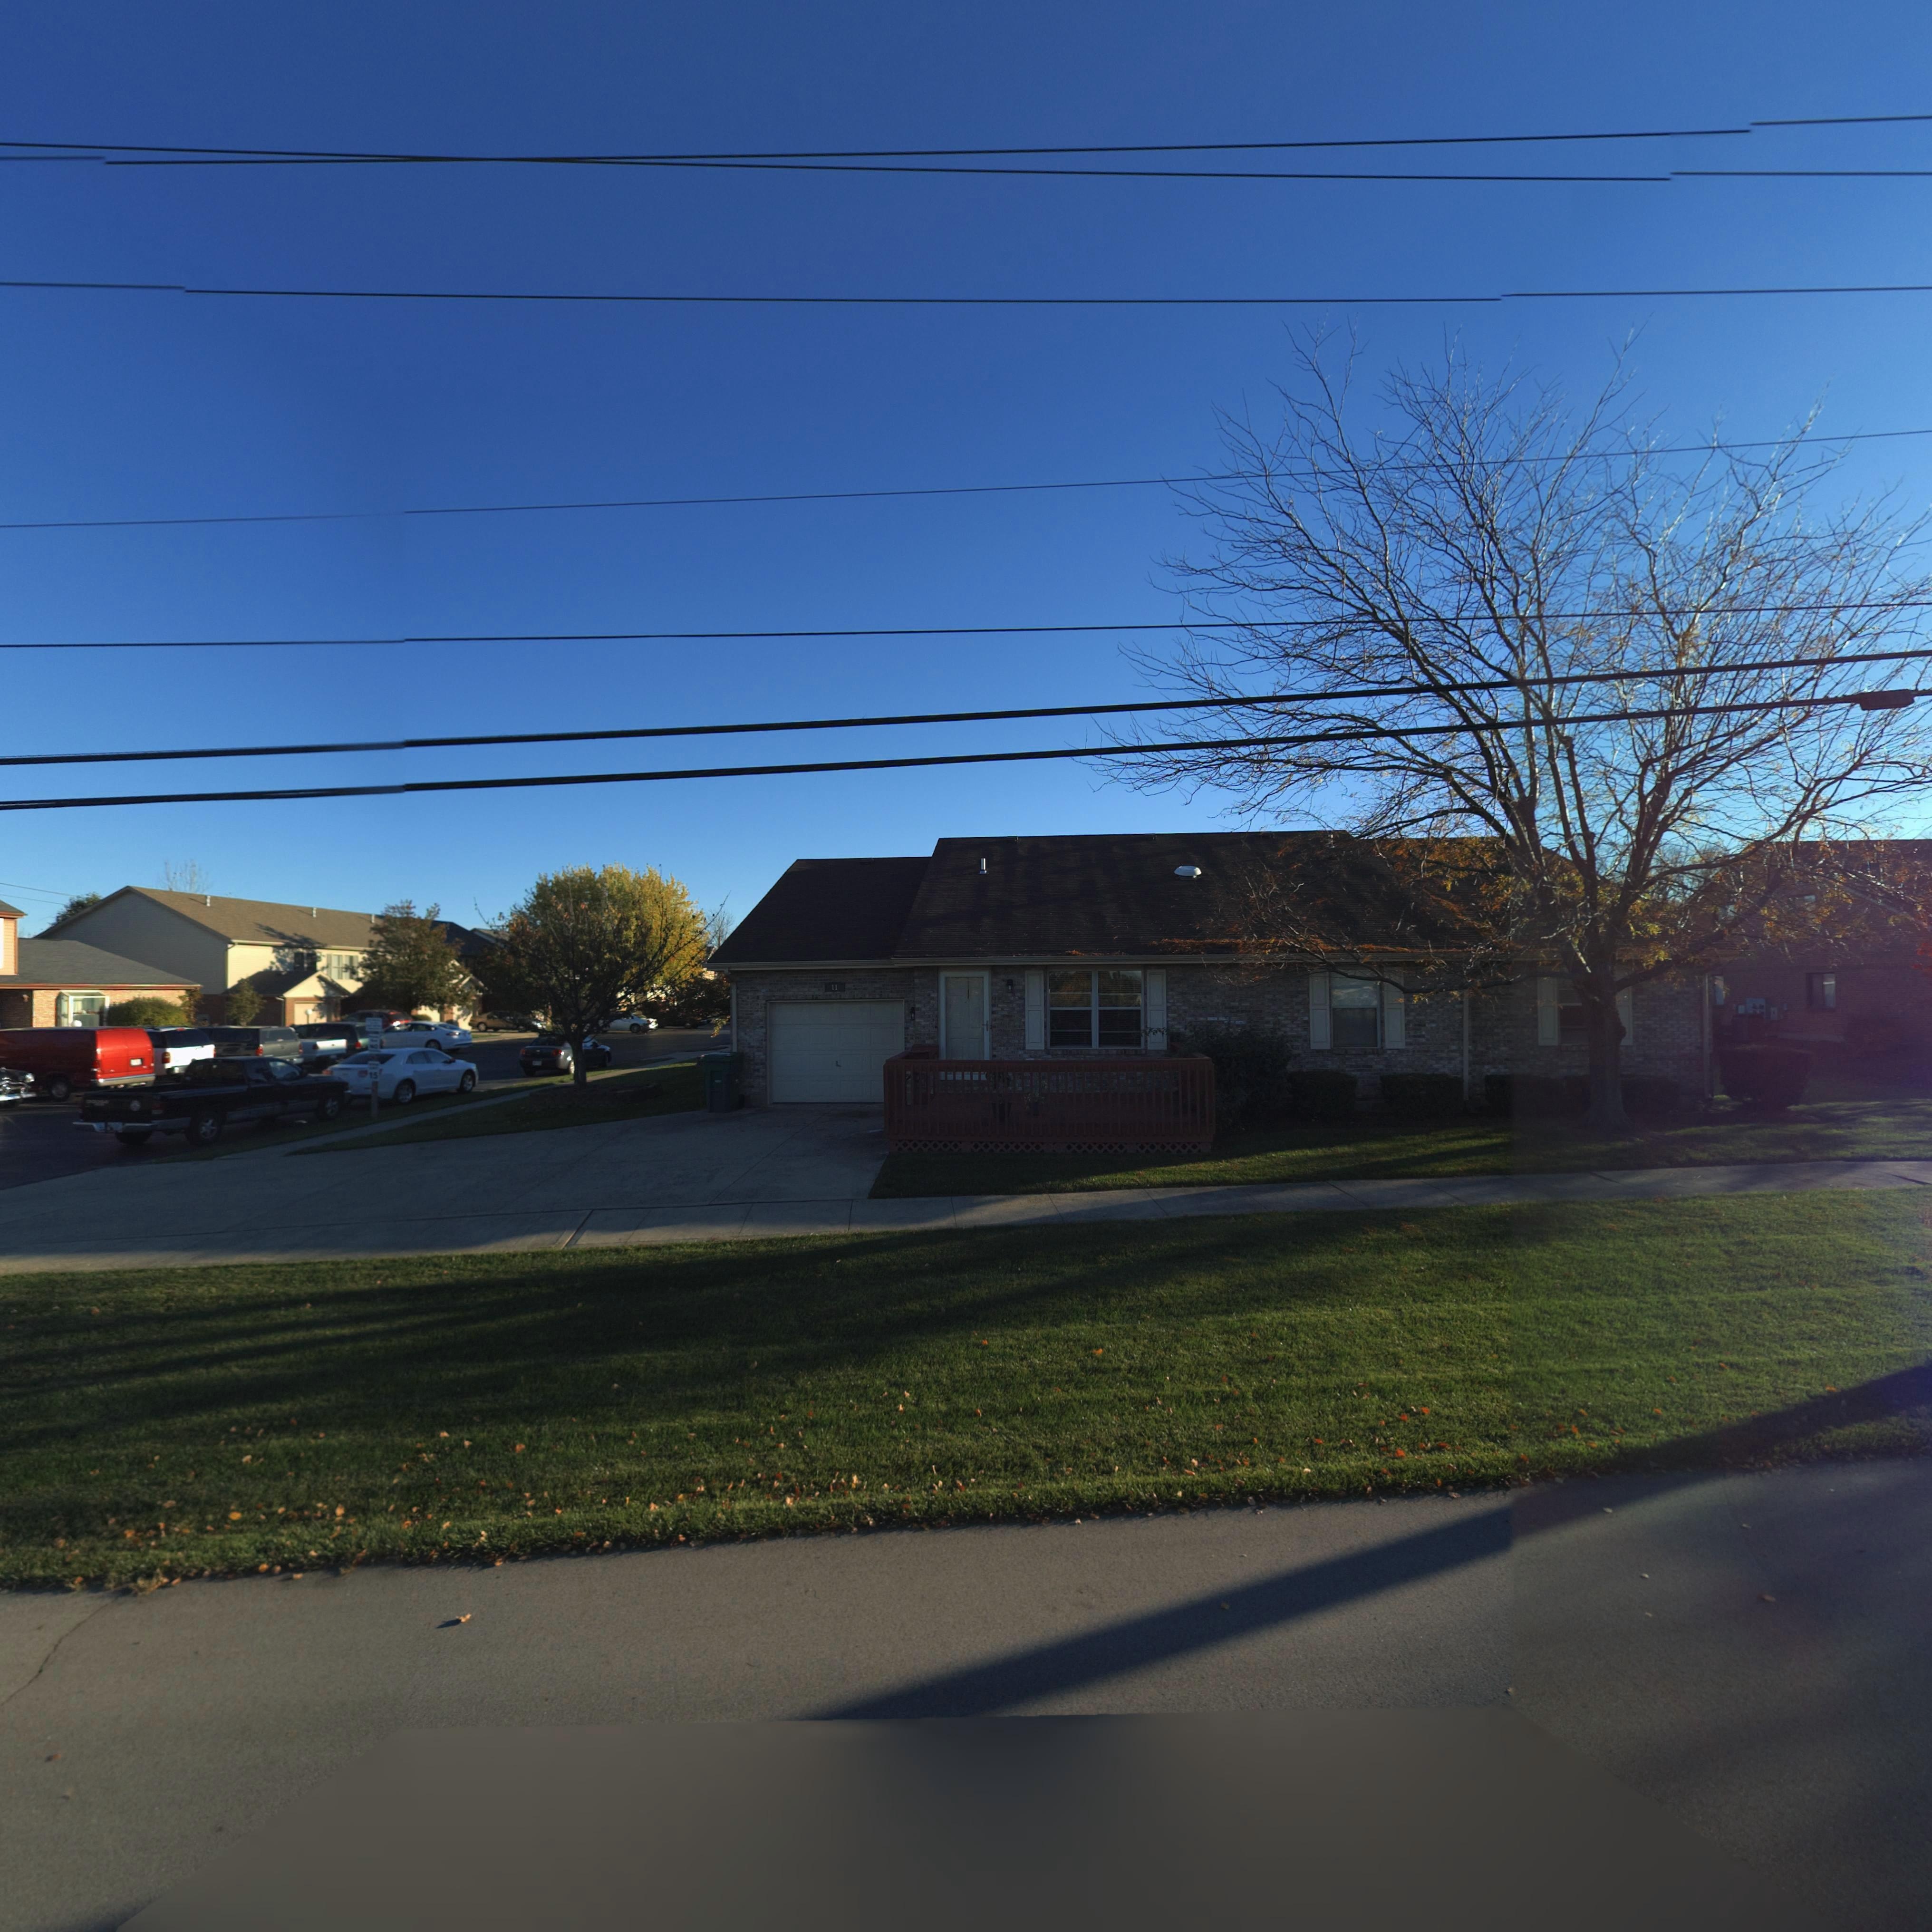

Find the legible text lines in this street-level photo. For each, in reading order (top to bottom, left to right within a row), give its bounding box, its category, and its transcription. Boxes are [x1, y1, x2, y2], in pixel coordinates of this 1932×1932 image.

[831, 983, 839, 991] StreetNumber: 11